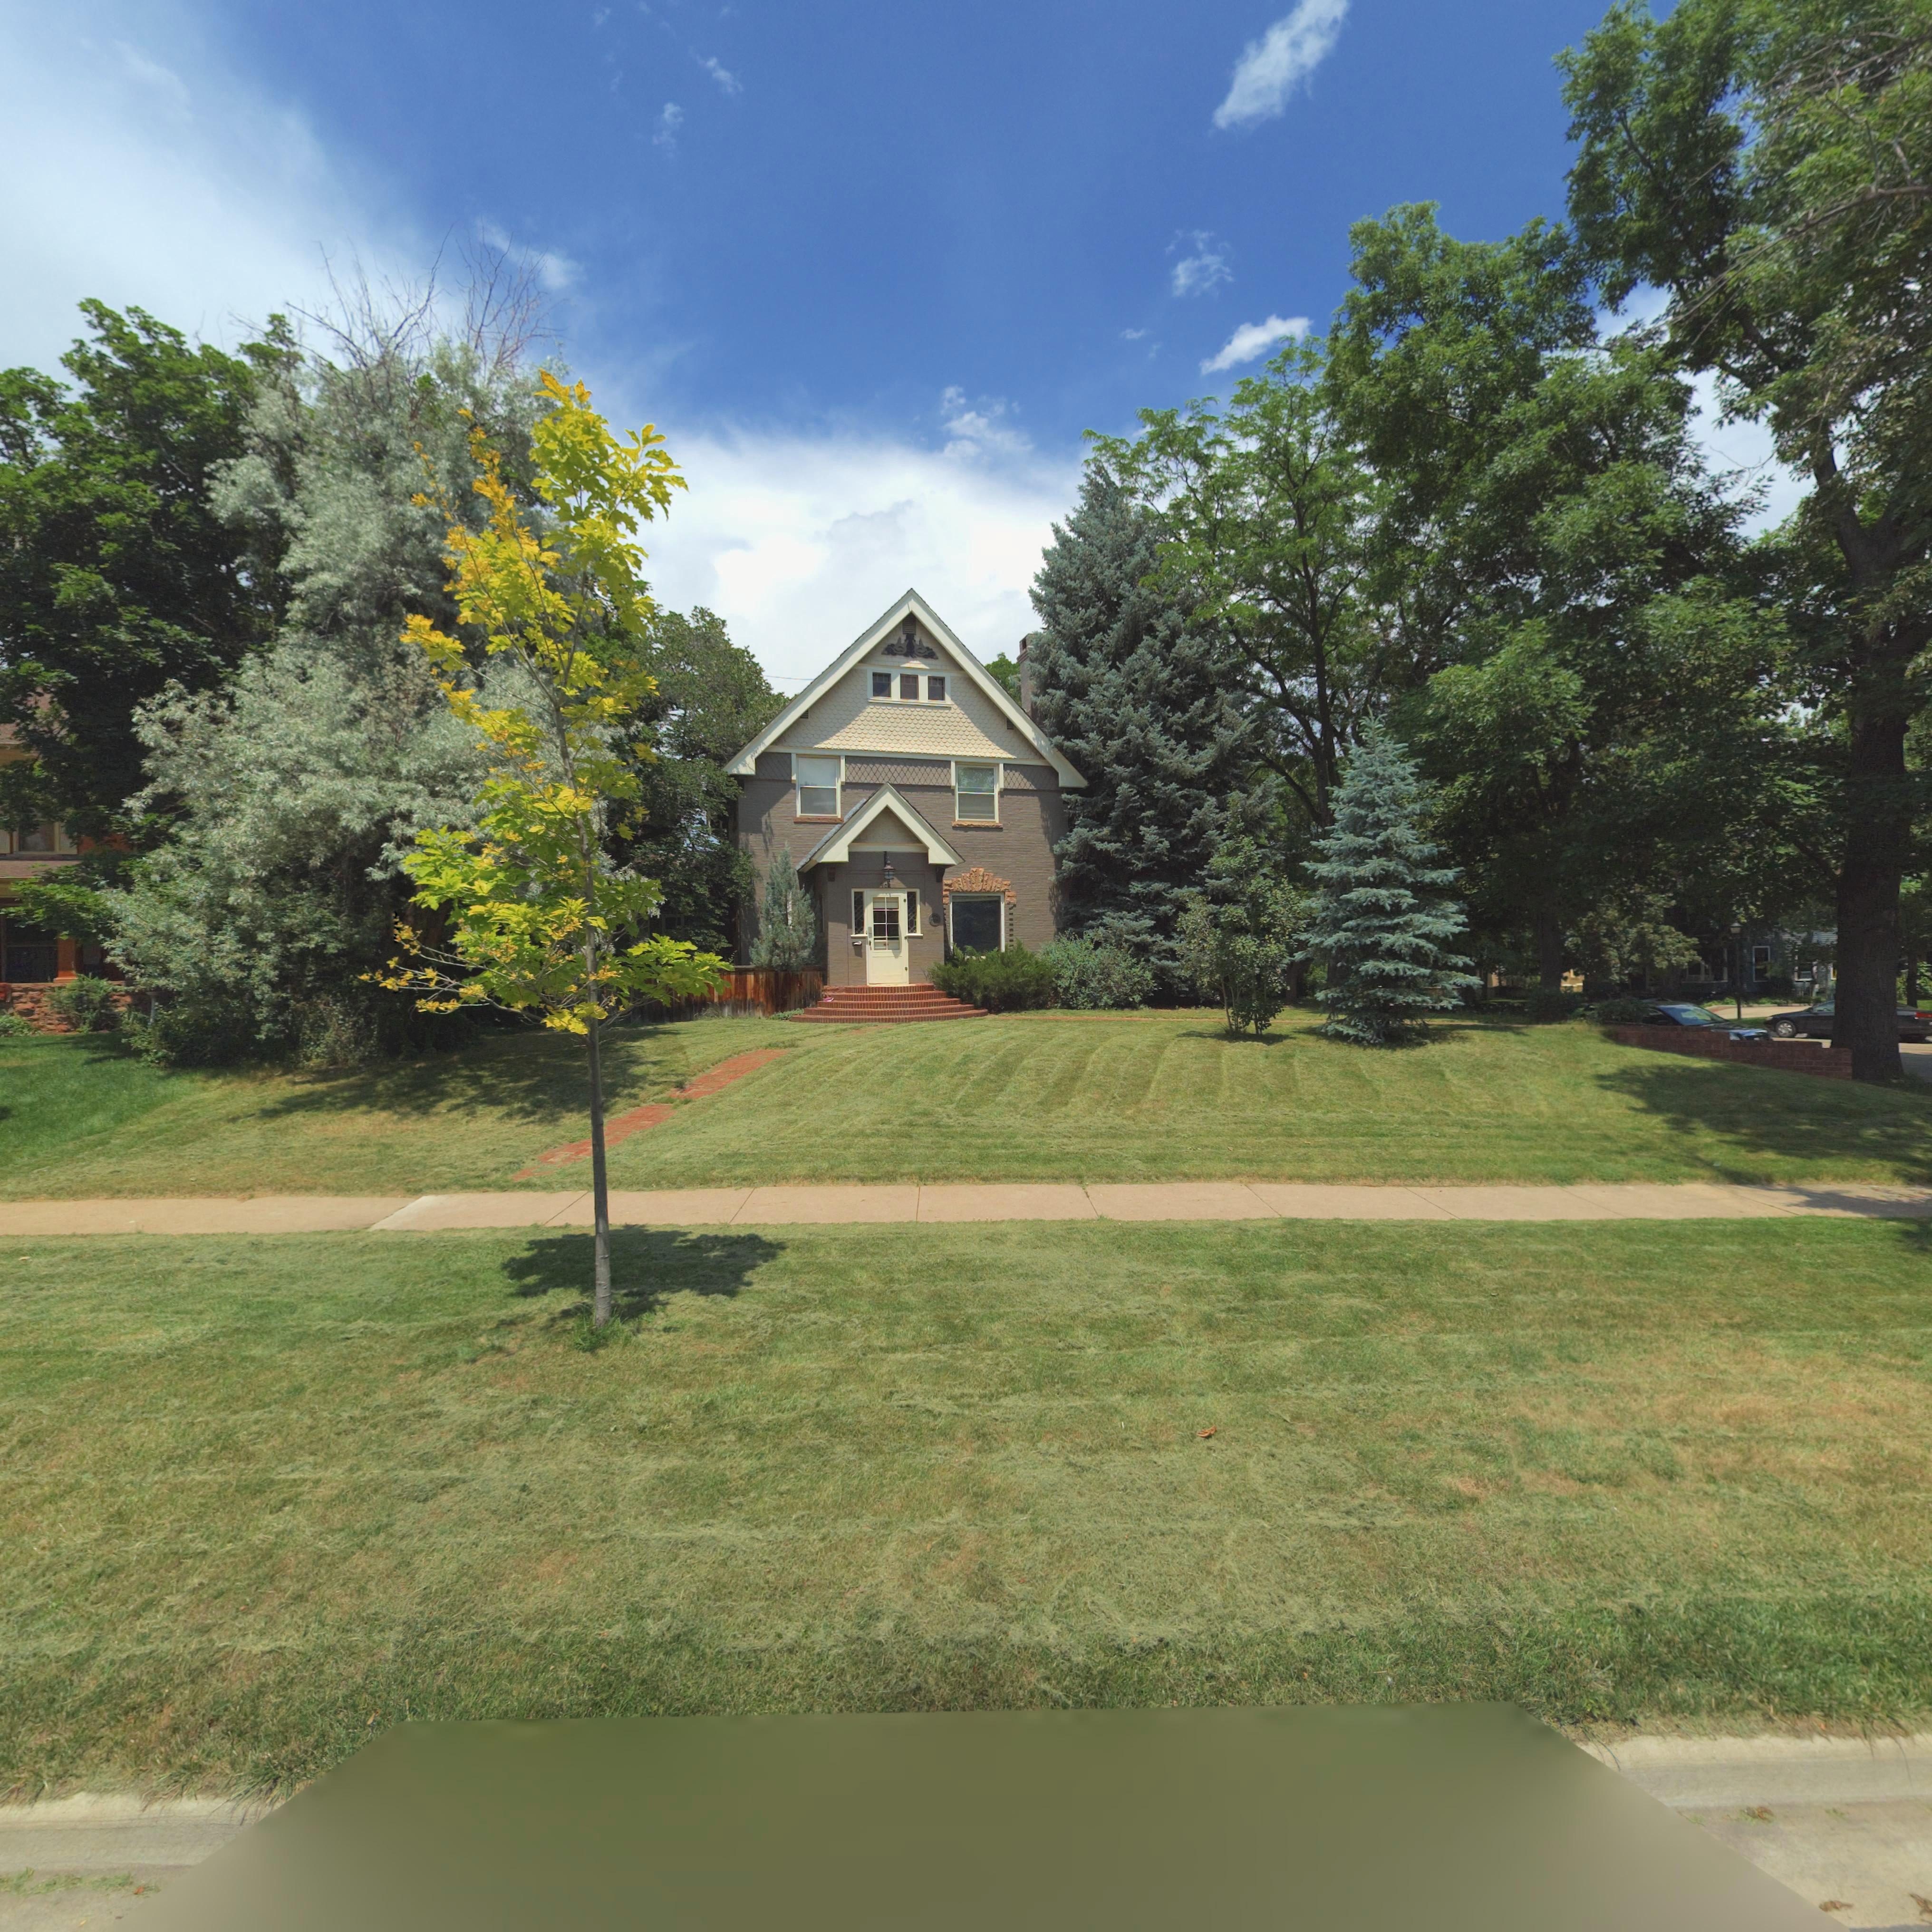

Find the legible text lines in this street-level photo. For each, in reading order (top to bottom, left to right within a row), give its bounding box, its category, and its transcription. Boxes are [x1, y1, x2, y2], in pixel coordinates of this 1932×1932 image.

[879, 882, 891, 888] StreetNumber: *0*